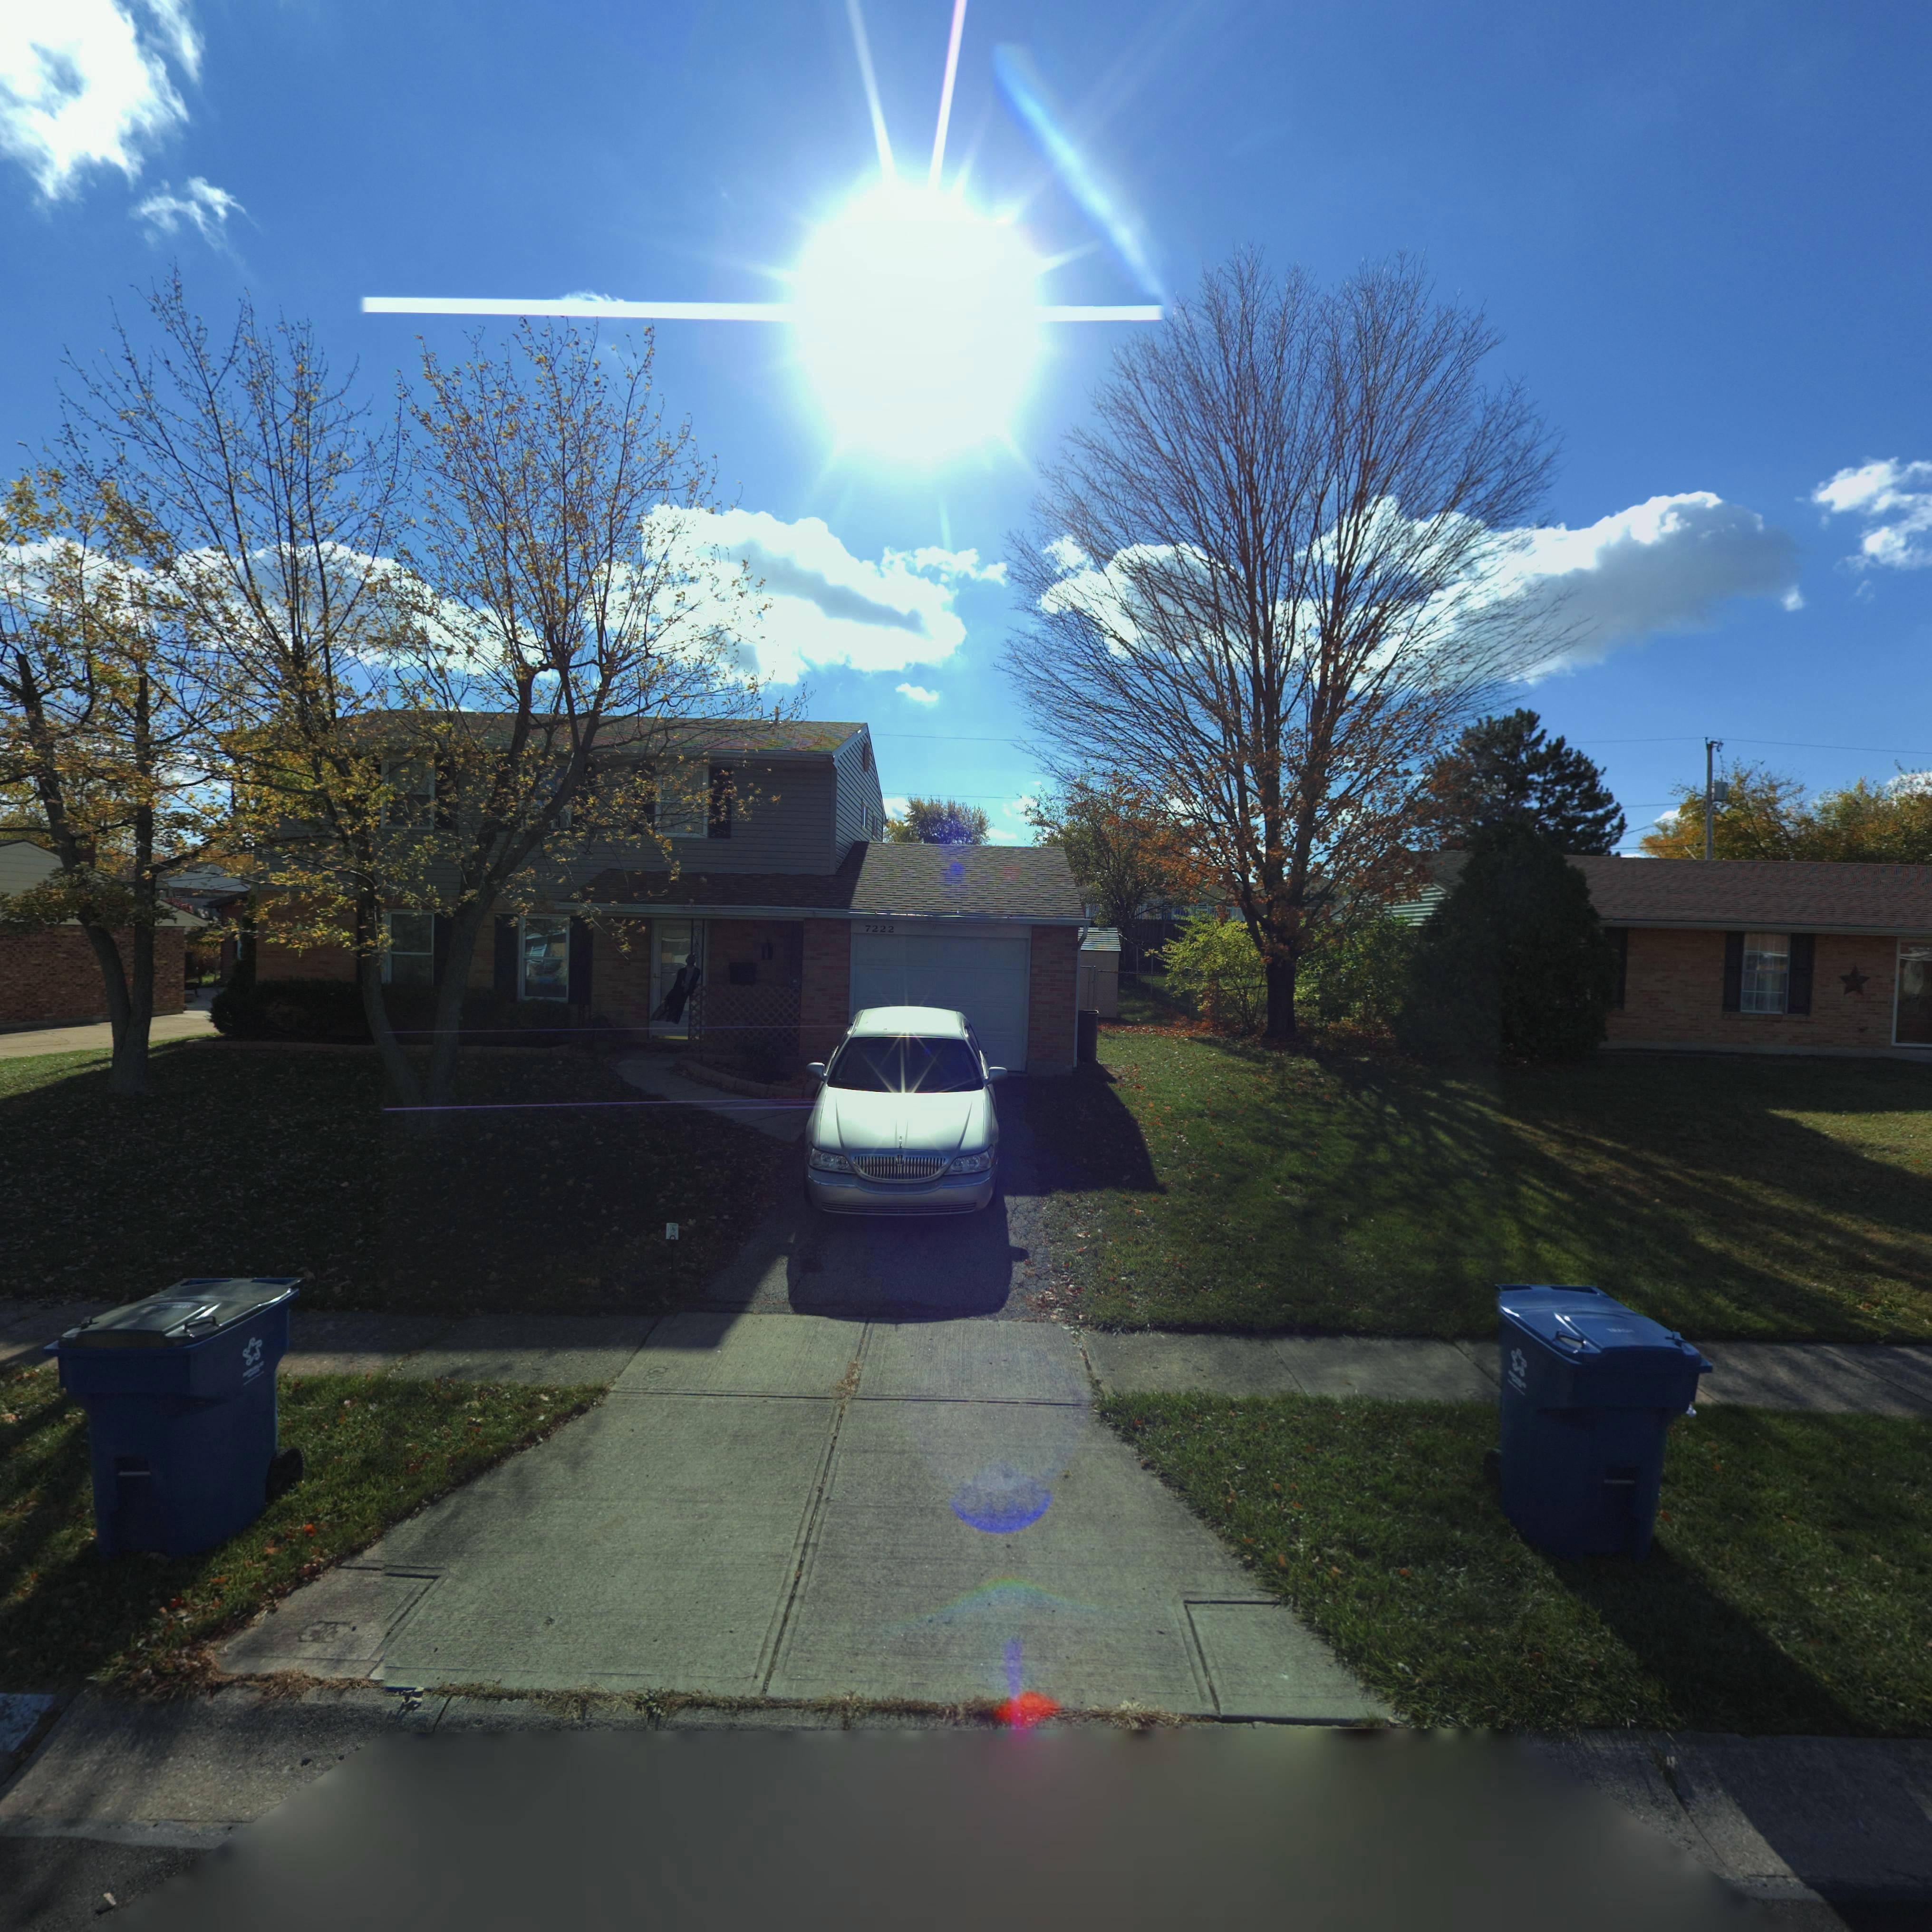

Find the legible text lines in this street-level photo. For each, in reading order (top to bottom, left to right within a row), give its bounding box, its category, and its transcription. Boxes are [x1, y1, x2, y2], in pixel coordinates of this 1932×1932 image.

[864, 924, 895, 934] StreetNumber: 7222